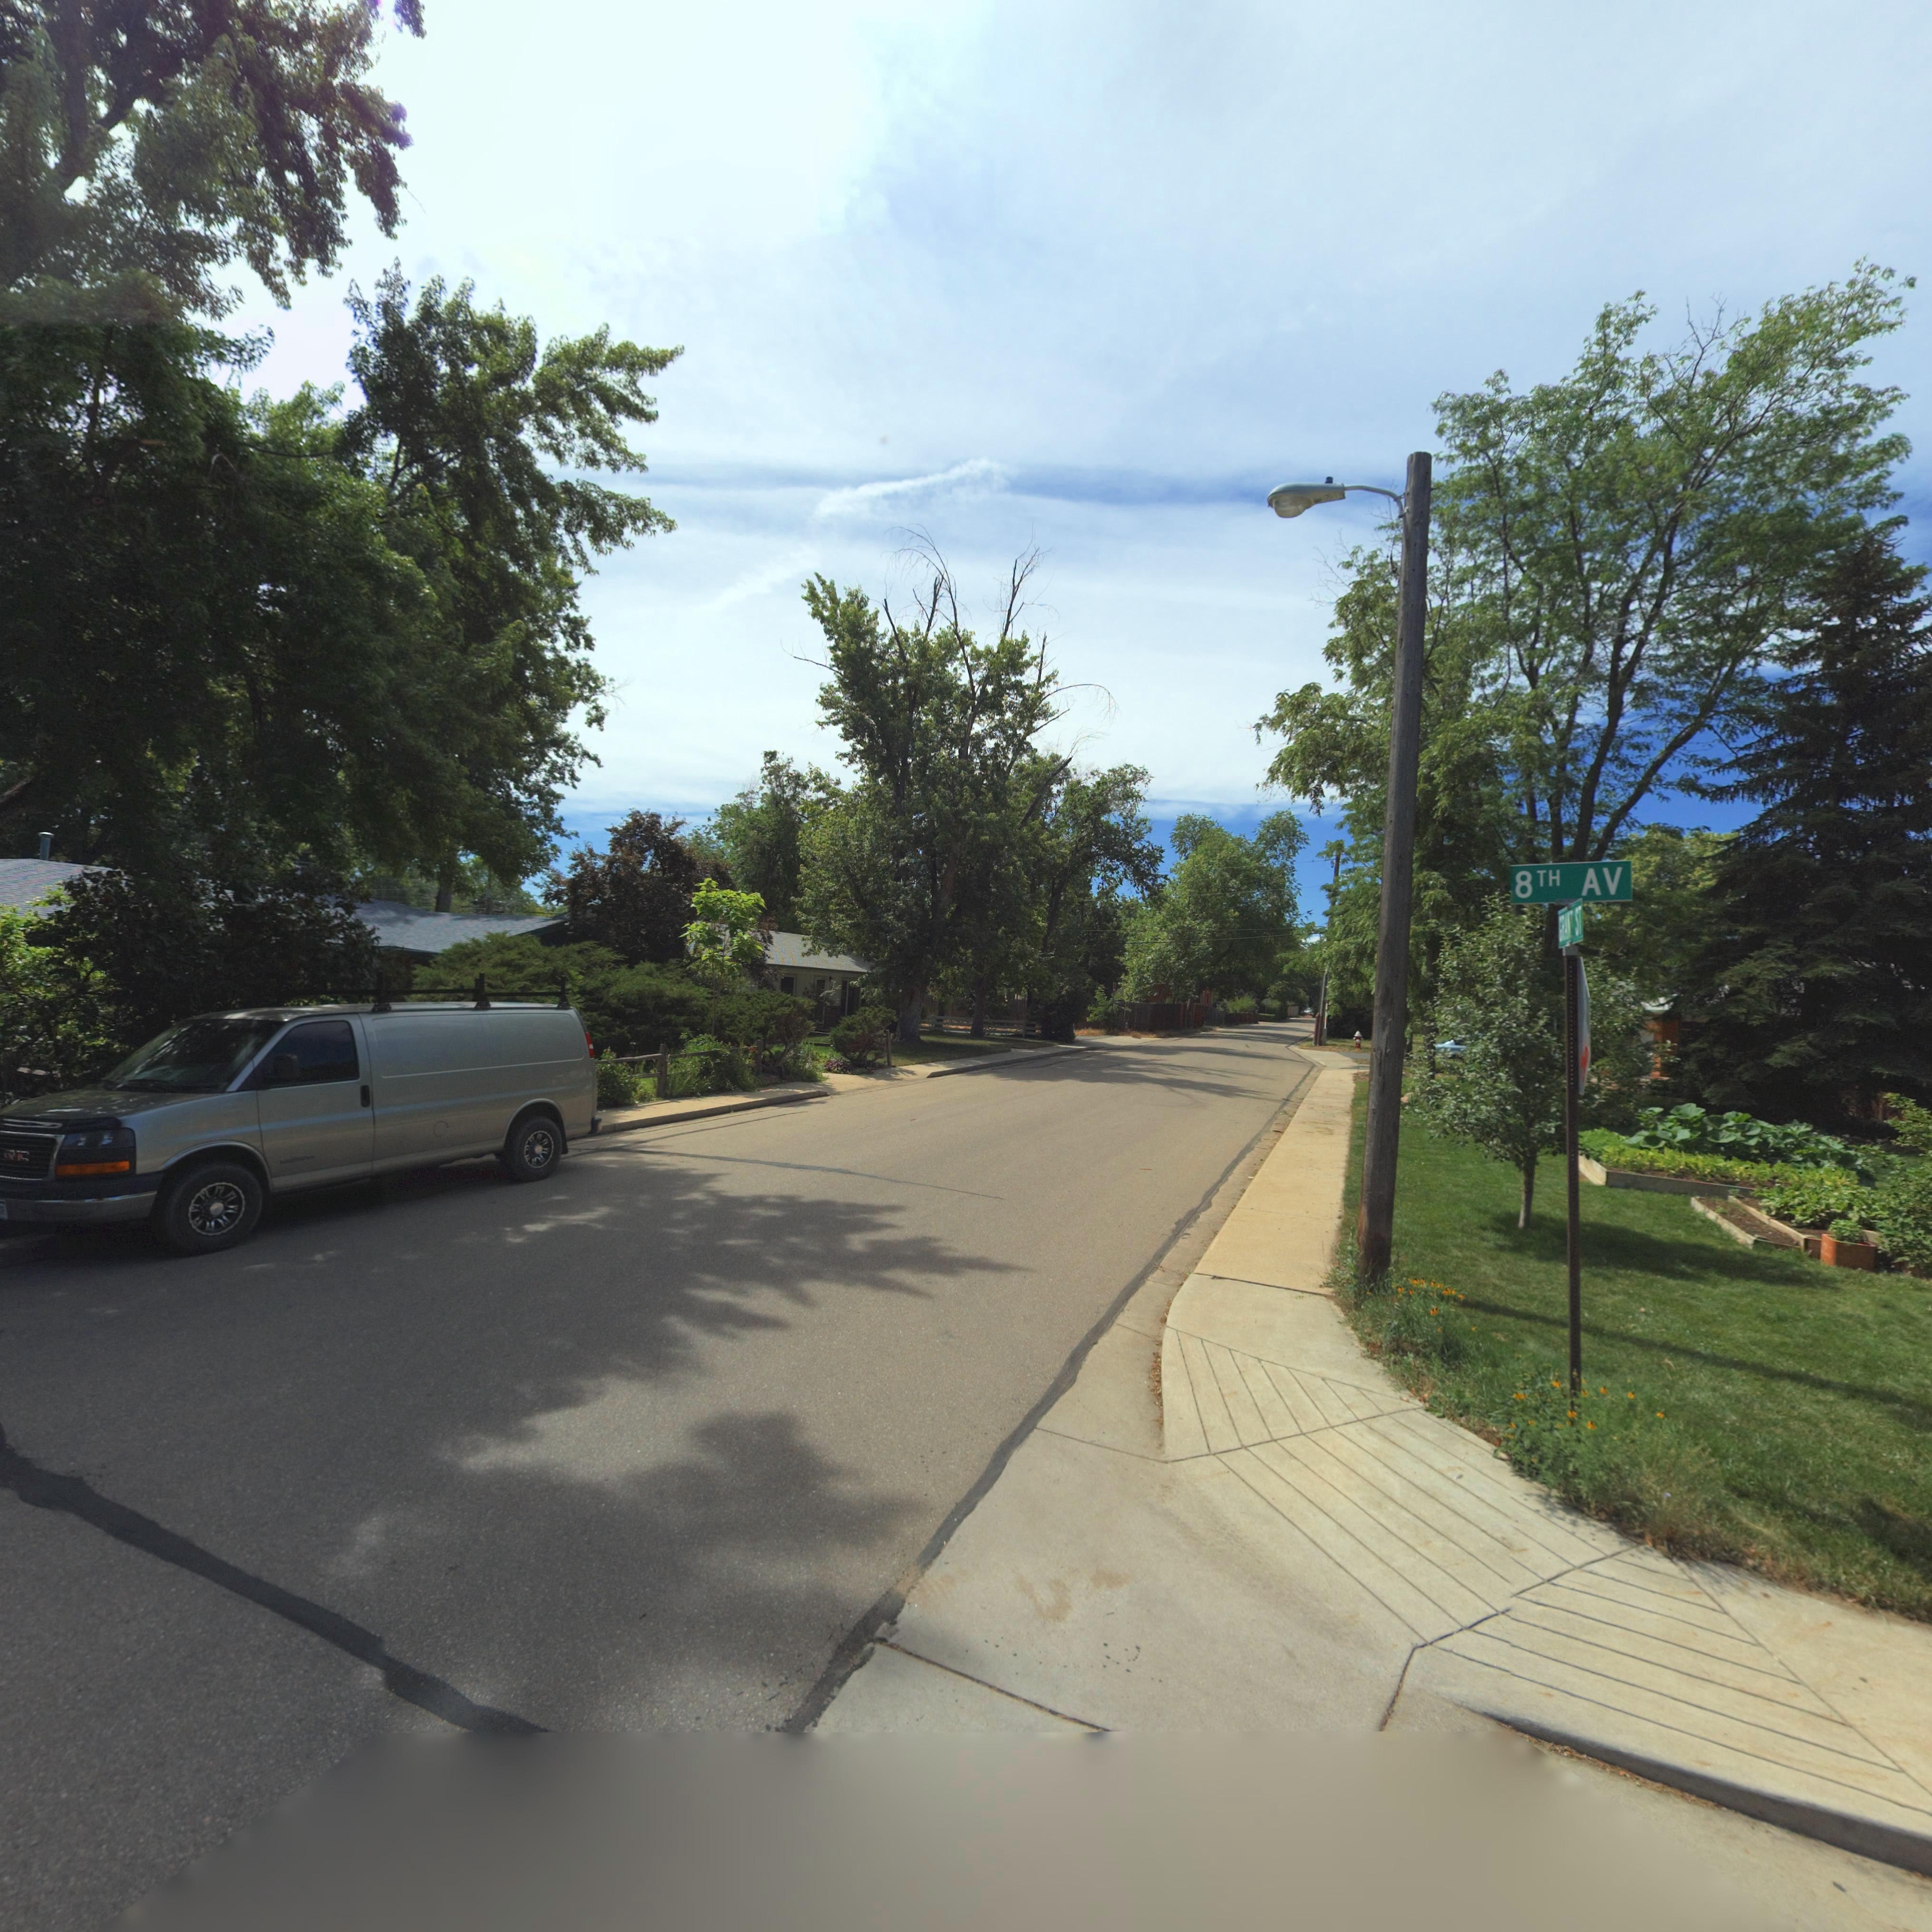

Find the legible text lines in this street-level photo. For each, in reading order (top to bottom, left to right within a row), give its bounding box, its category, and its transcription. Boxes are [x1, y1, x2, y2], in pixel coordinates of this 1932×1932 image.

[1515, 866, 1623, 898] StreetName: 8TH AV
[1557, 905, 1581, 942] StreetName: GRANT ST